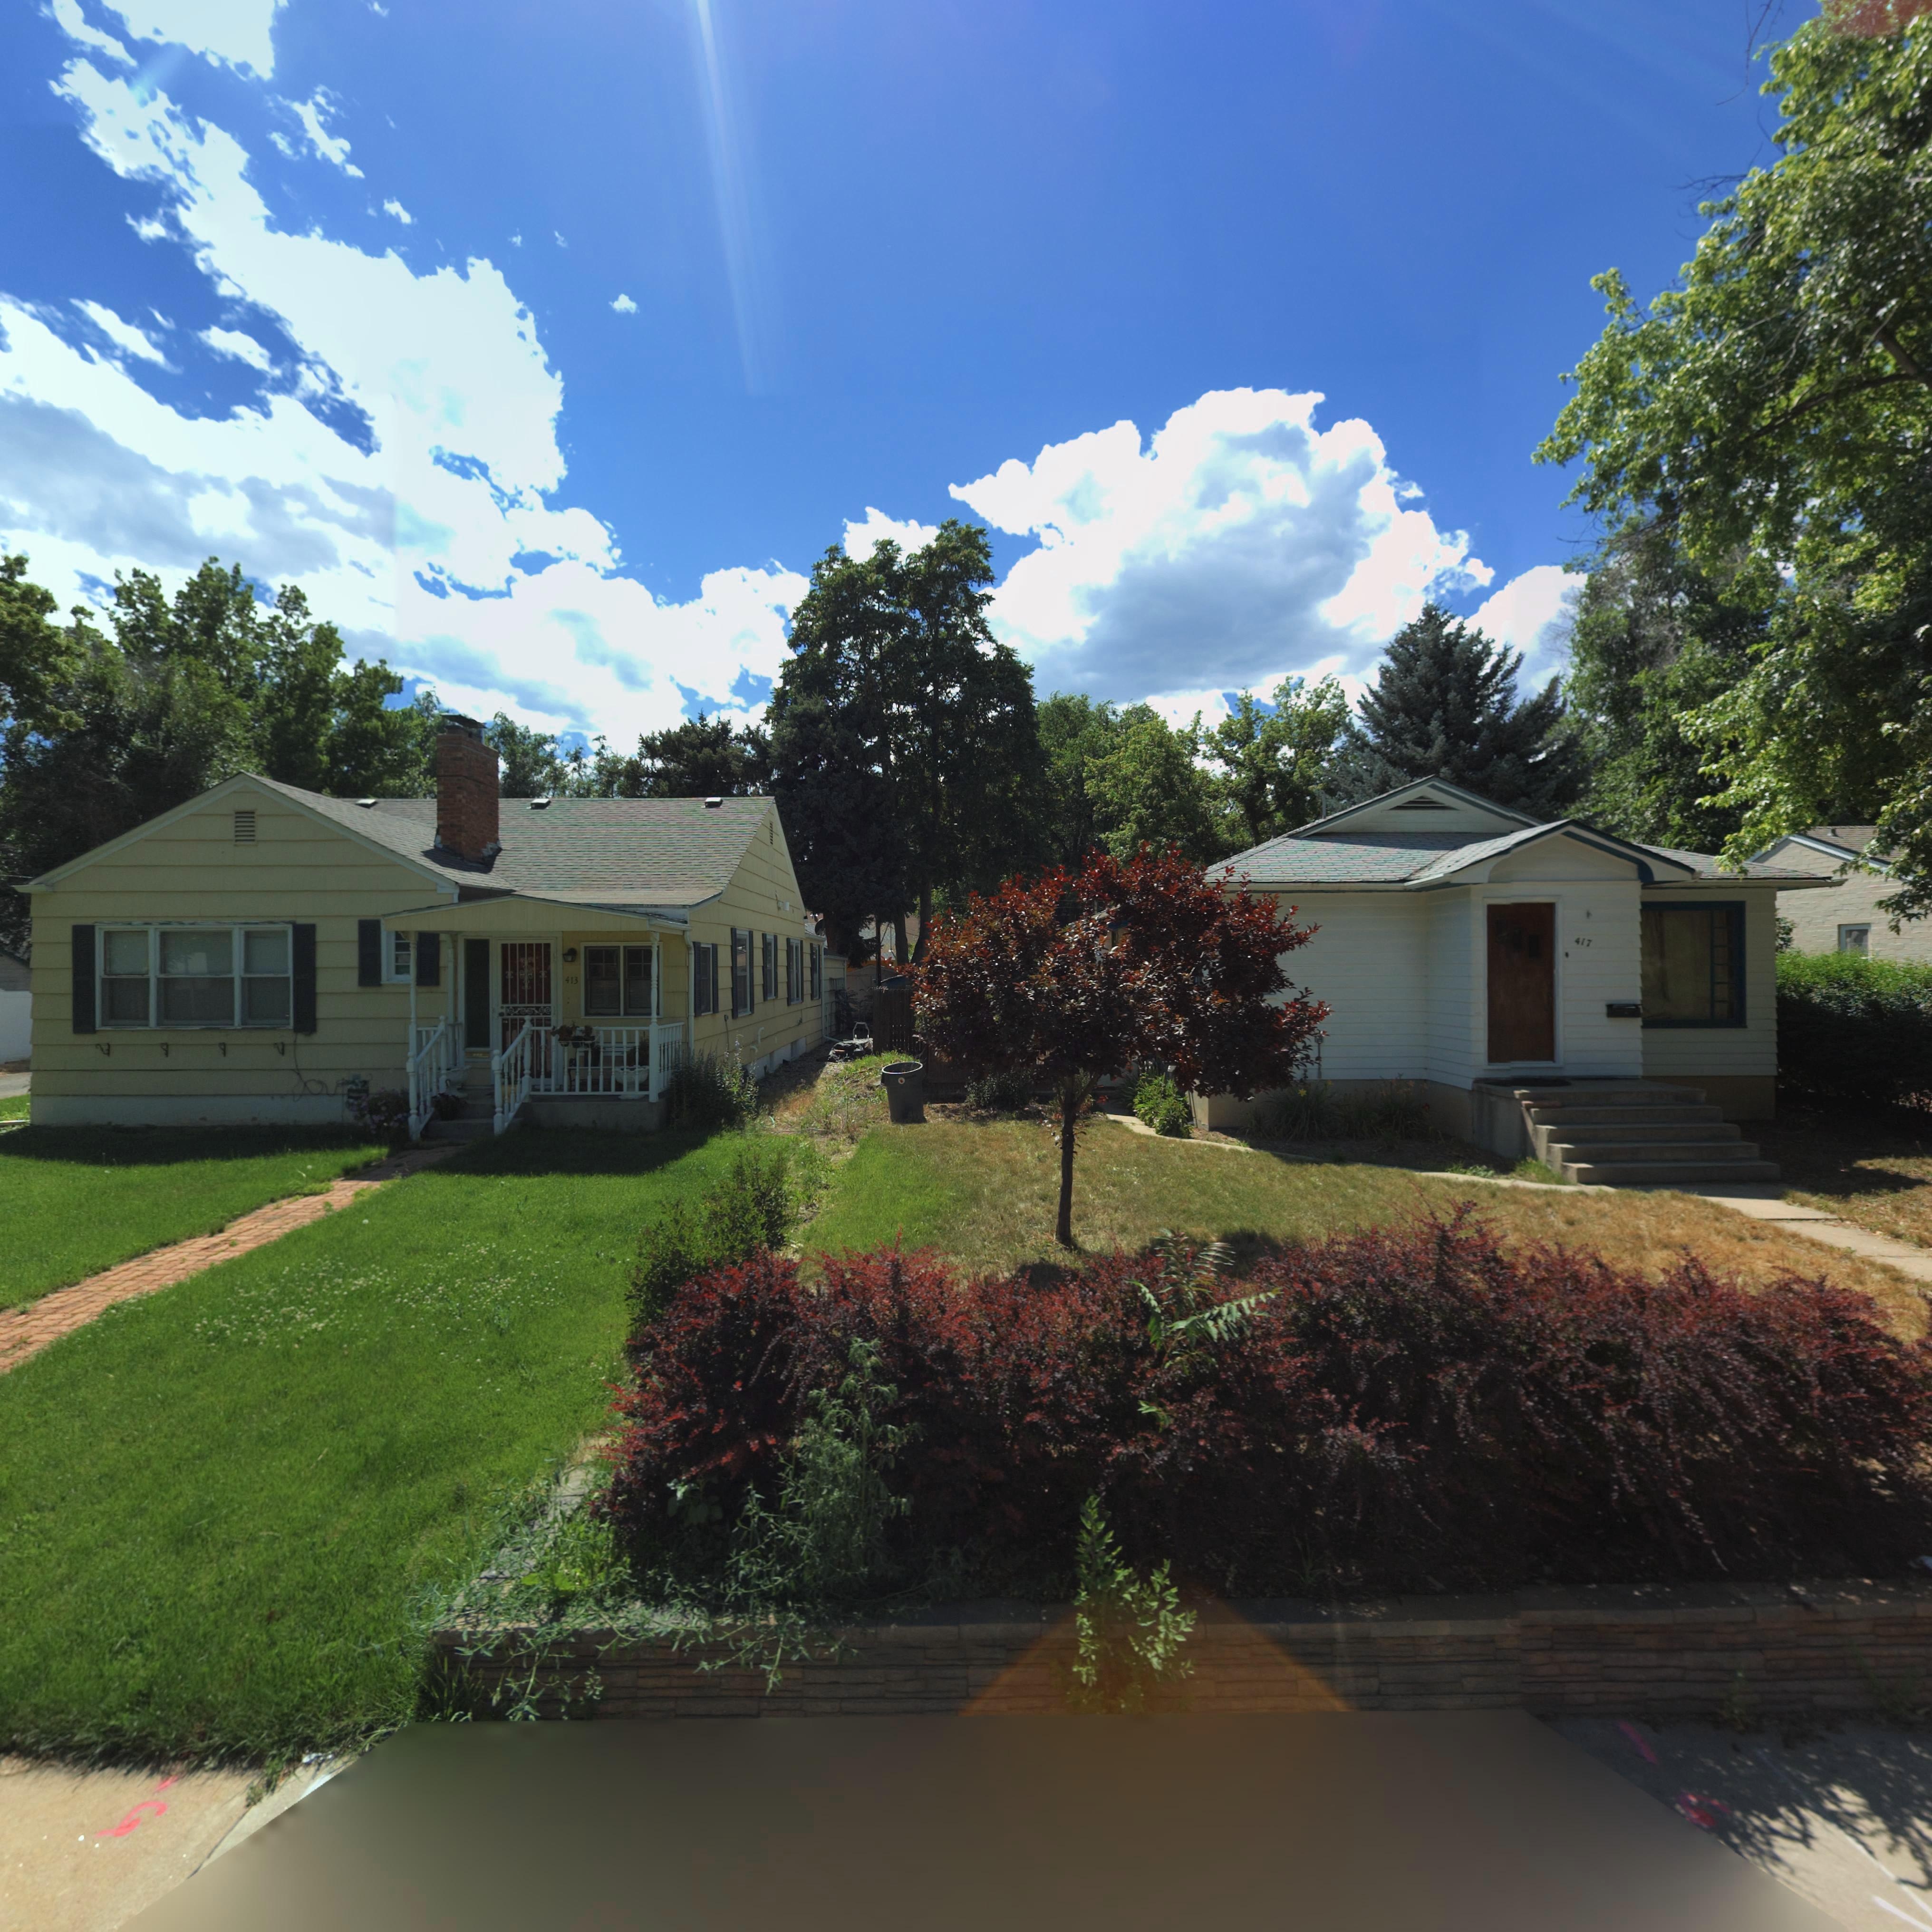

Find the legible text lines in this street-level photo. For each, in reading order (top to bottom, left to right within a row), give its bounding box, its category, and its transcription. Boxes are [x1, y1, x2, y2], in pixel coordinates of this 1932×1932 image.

[1573, 936, 1593, 947] StreetNumber: 417
[564, 976, 579, 985] StreetNumber: 413